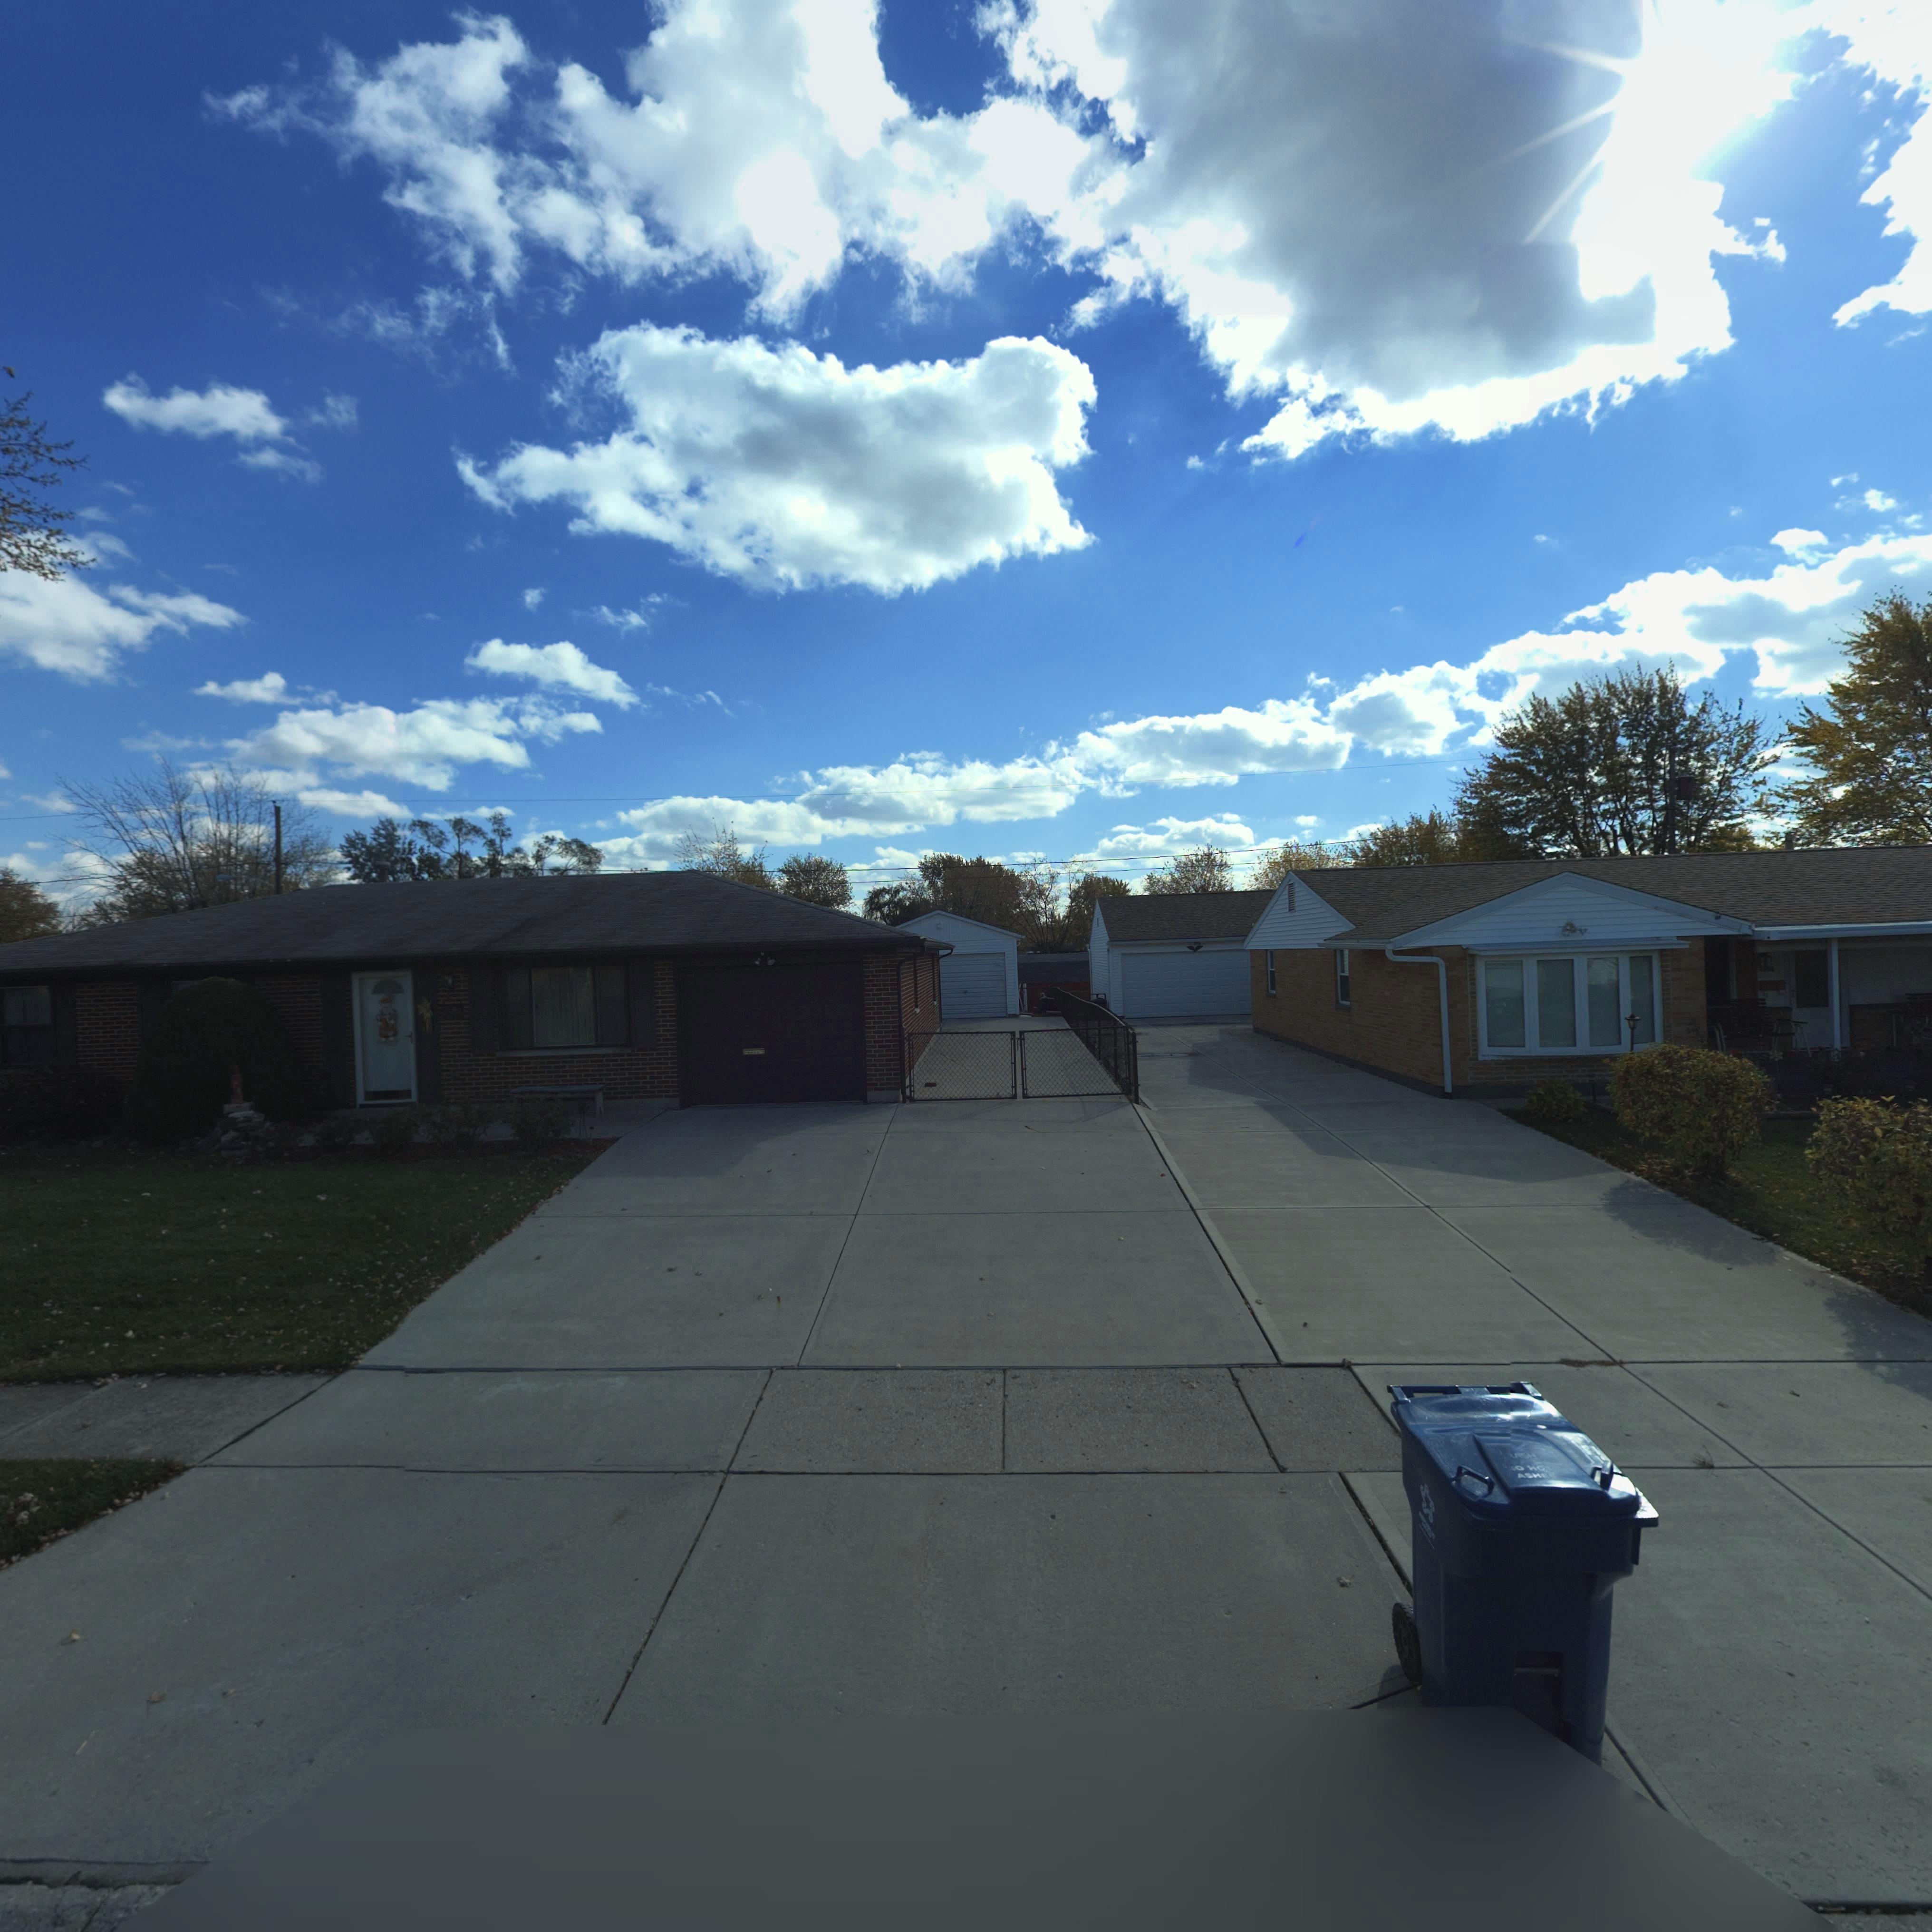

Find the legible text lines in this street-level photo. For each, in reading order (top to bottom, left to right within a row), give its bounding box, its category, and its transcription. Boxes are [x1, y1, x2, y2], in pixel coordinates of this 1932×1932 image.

[437, 1005, 464, 1016] StreetNumber: 7*9*